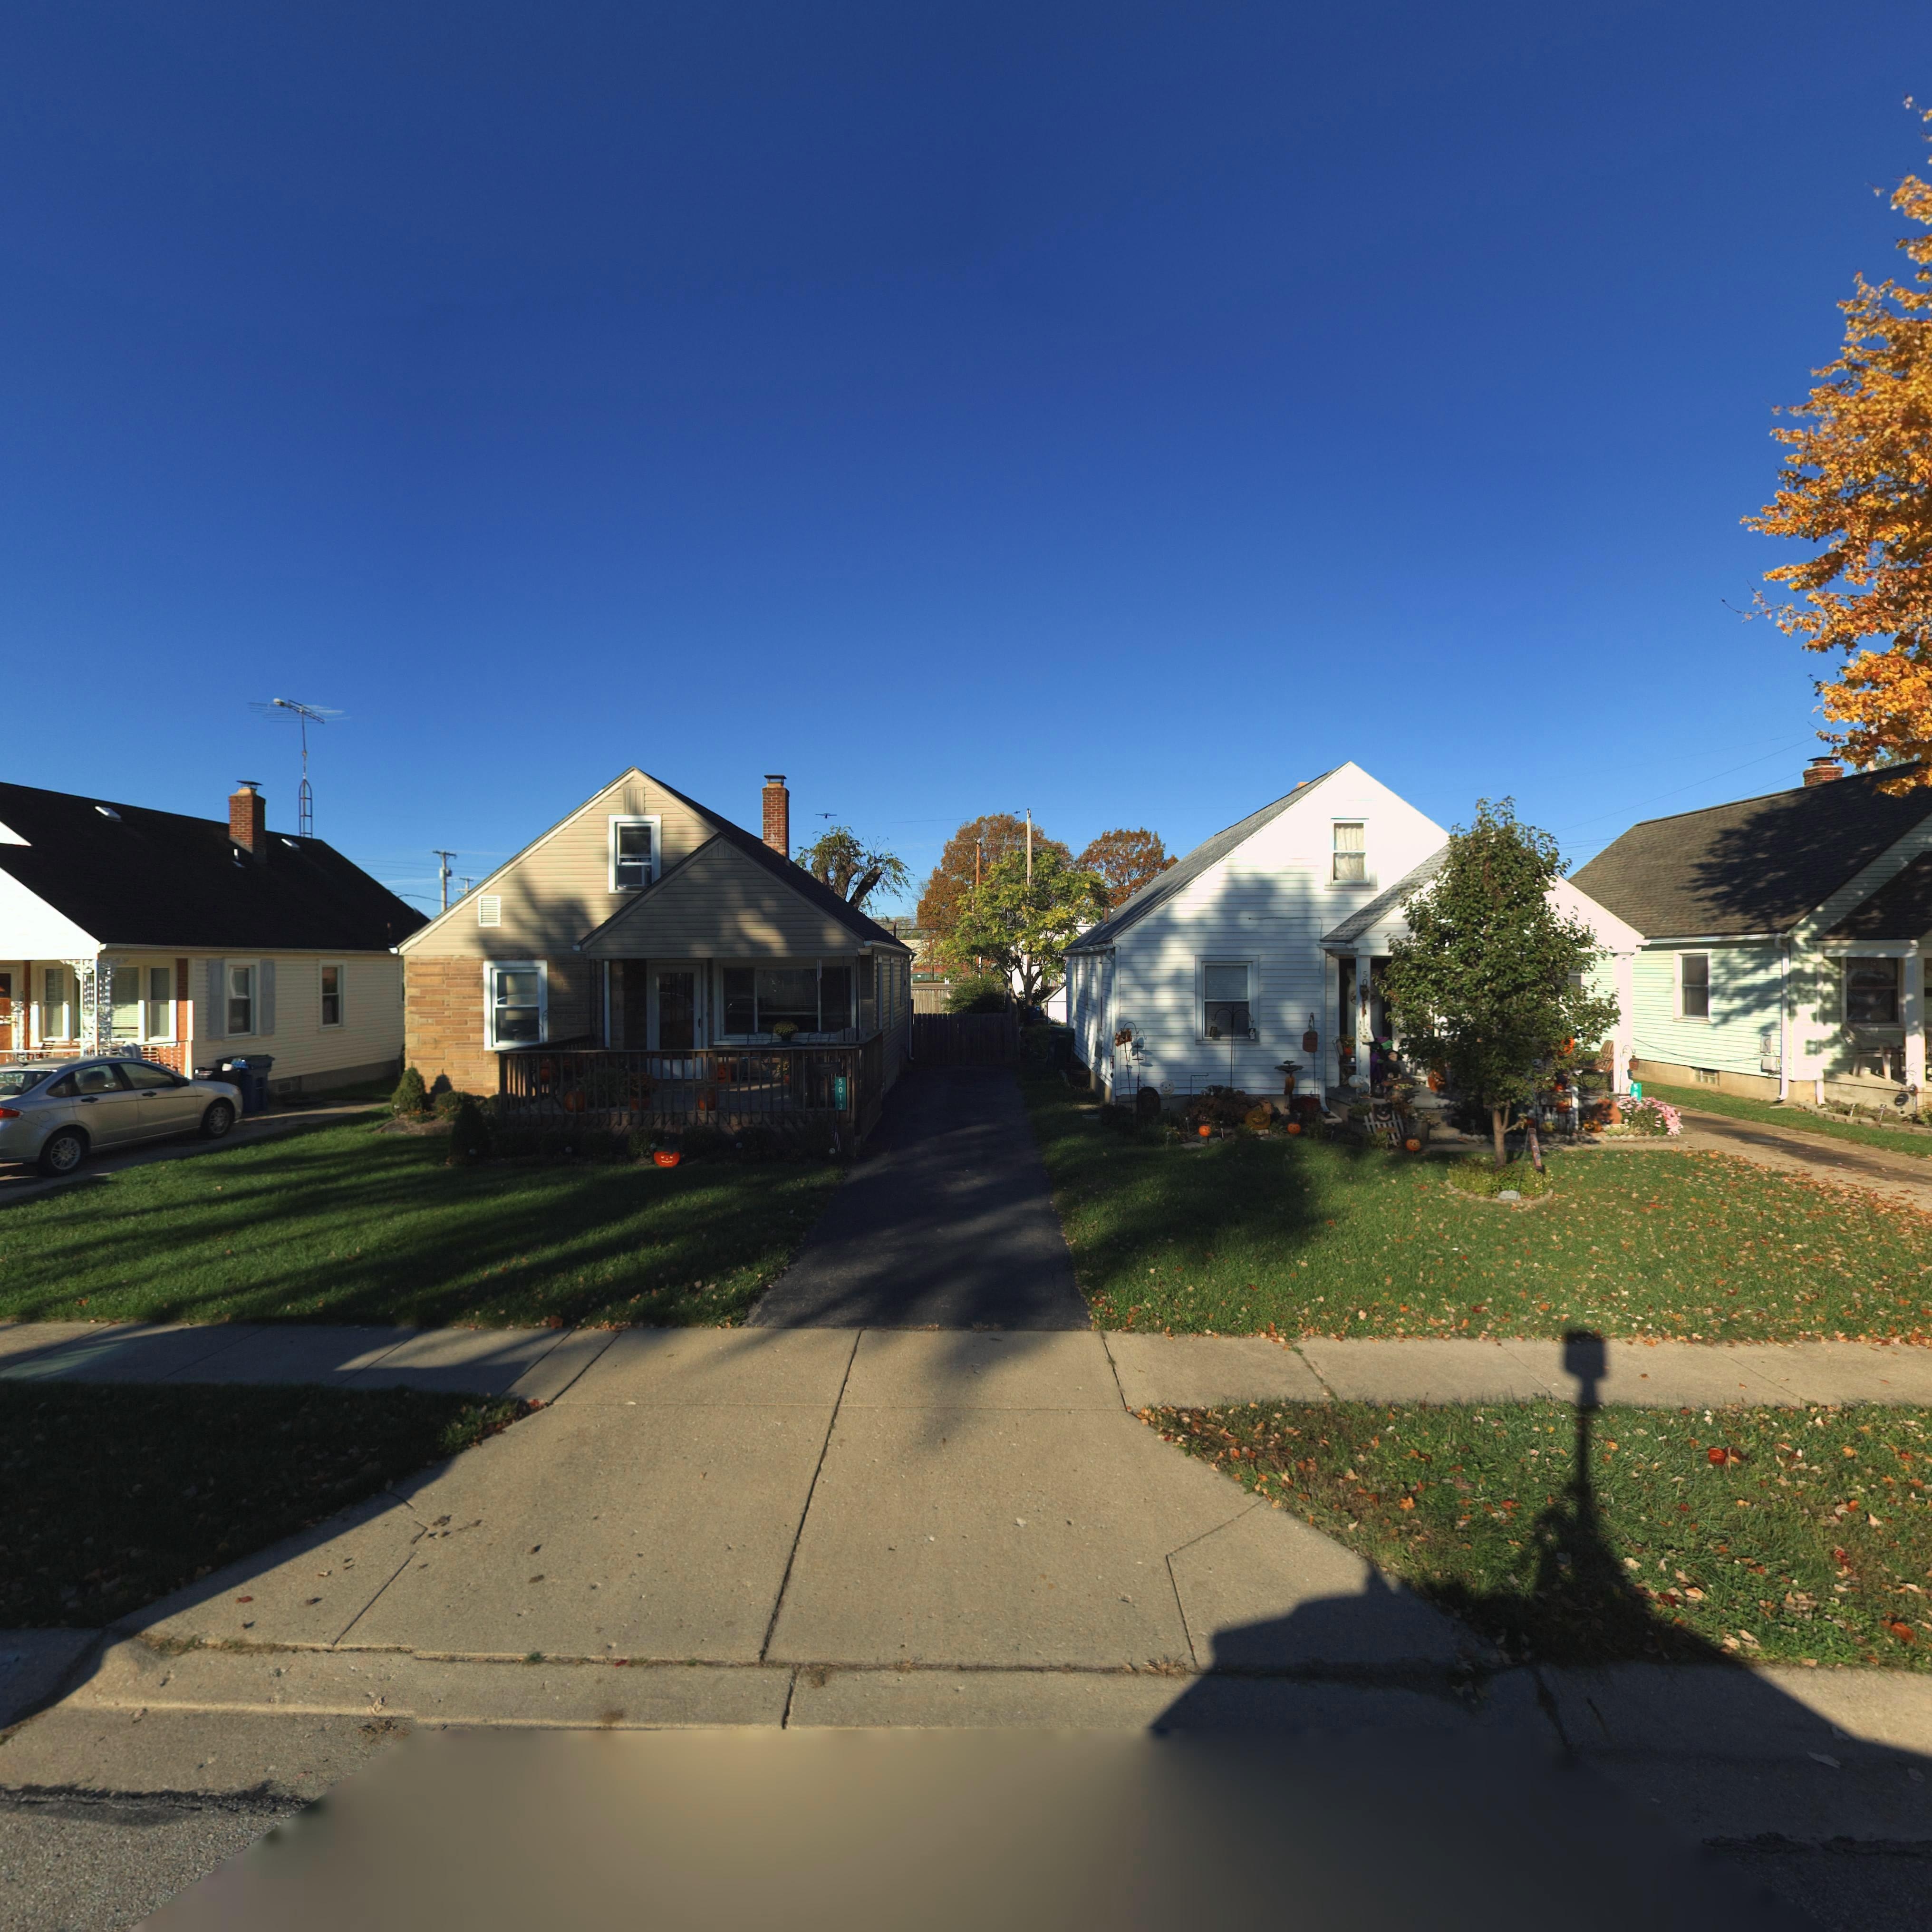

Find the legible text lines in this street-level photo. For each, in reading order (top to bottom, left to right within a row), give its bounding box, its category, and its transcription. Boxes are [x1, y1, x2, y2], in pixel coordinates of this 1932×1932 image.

[1362, 970, 1368, 986] StreetNumber: 50
[838, 1078, 843, 1110] StreetNumber: 5013
[1633, 1083, 1639, 1098] StreetNumber: 50